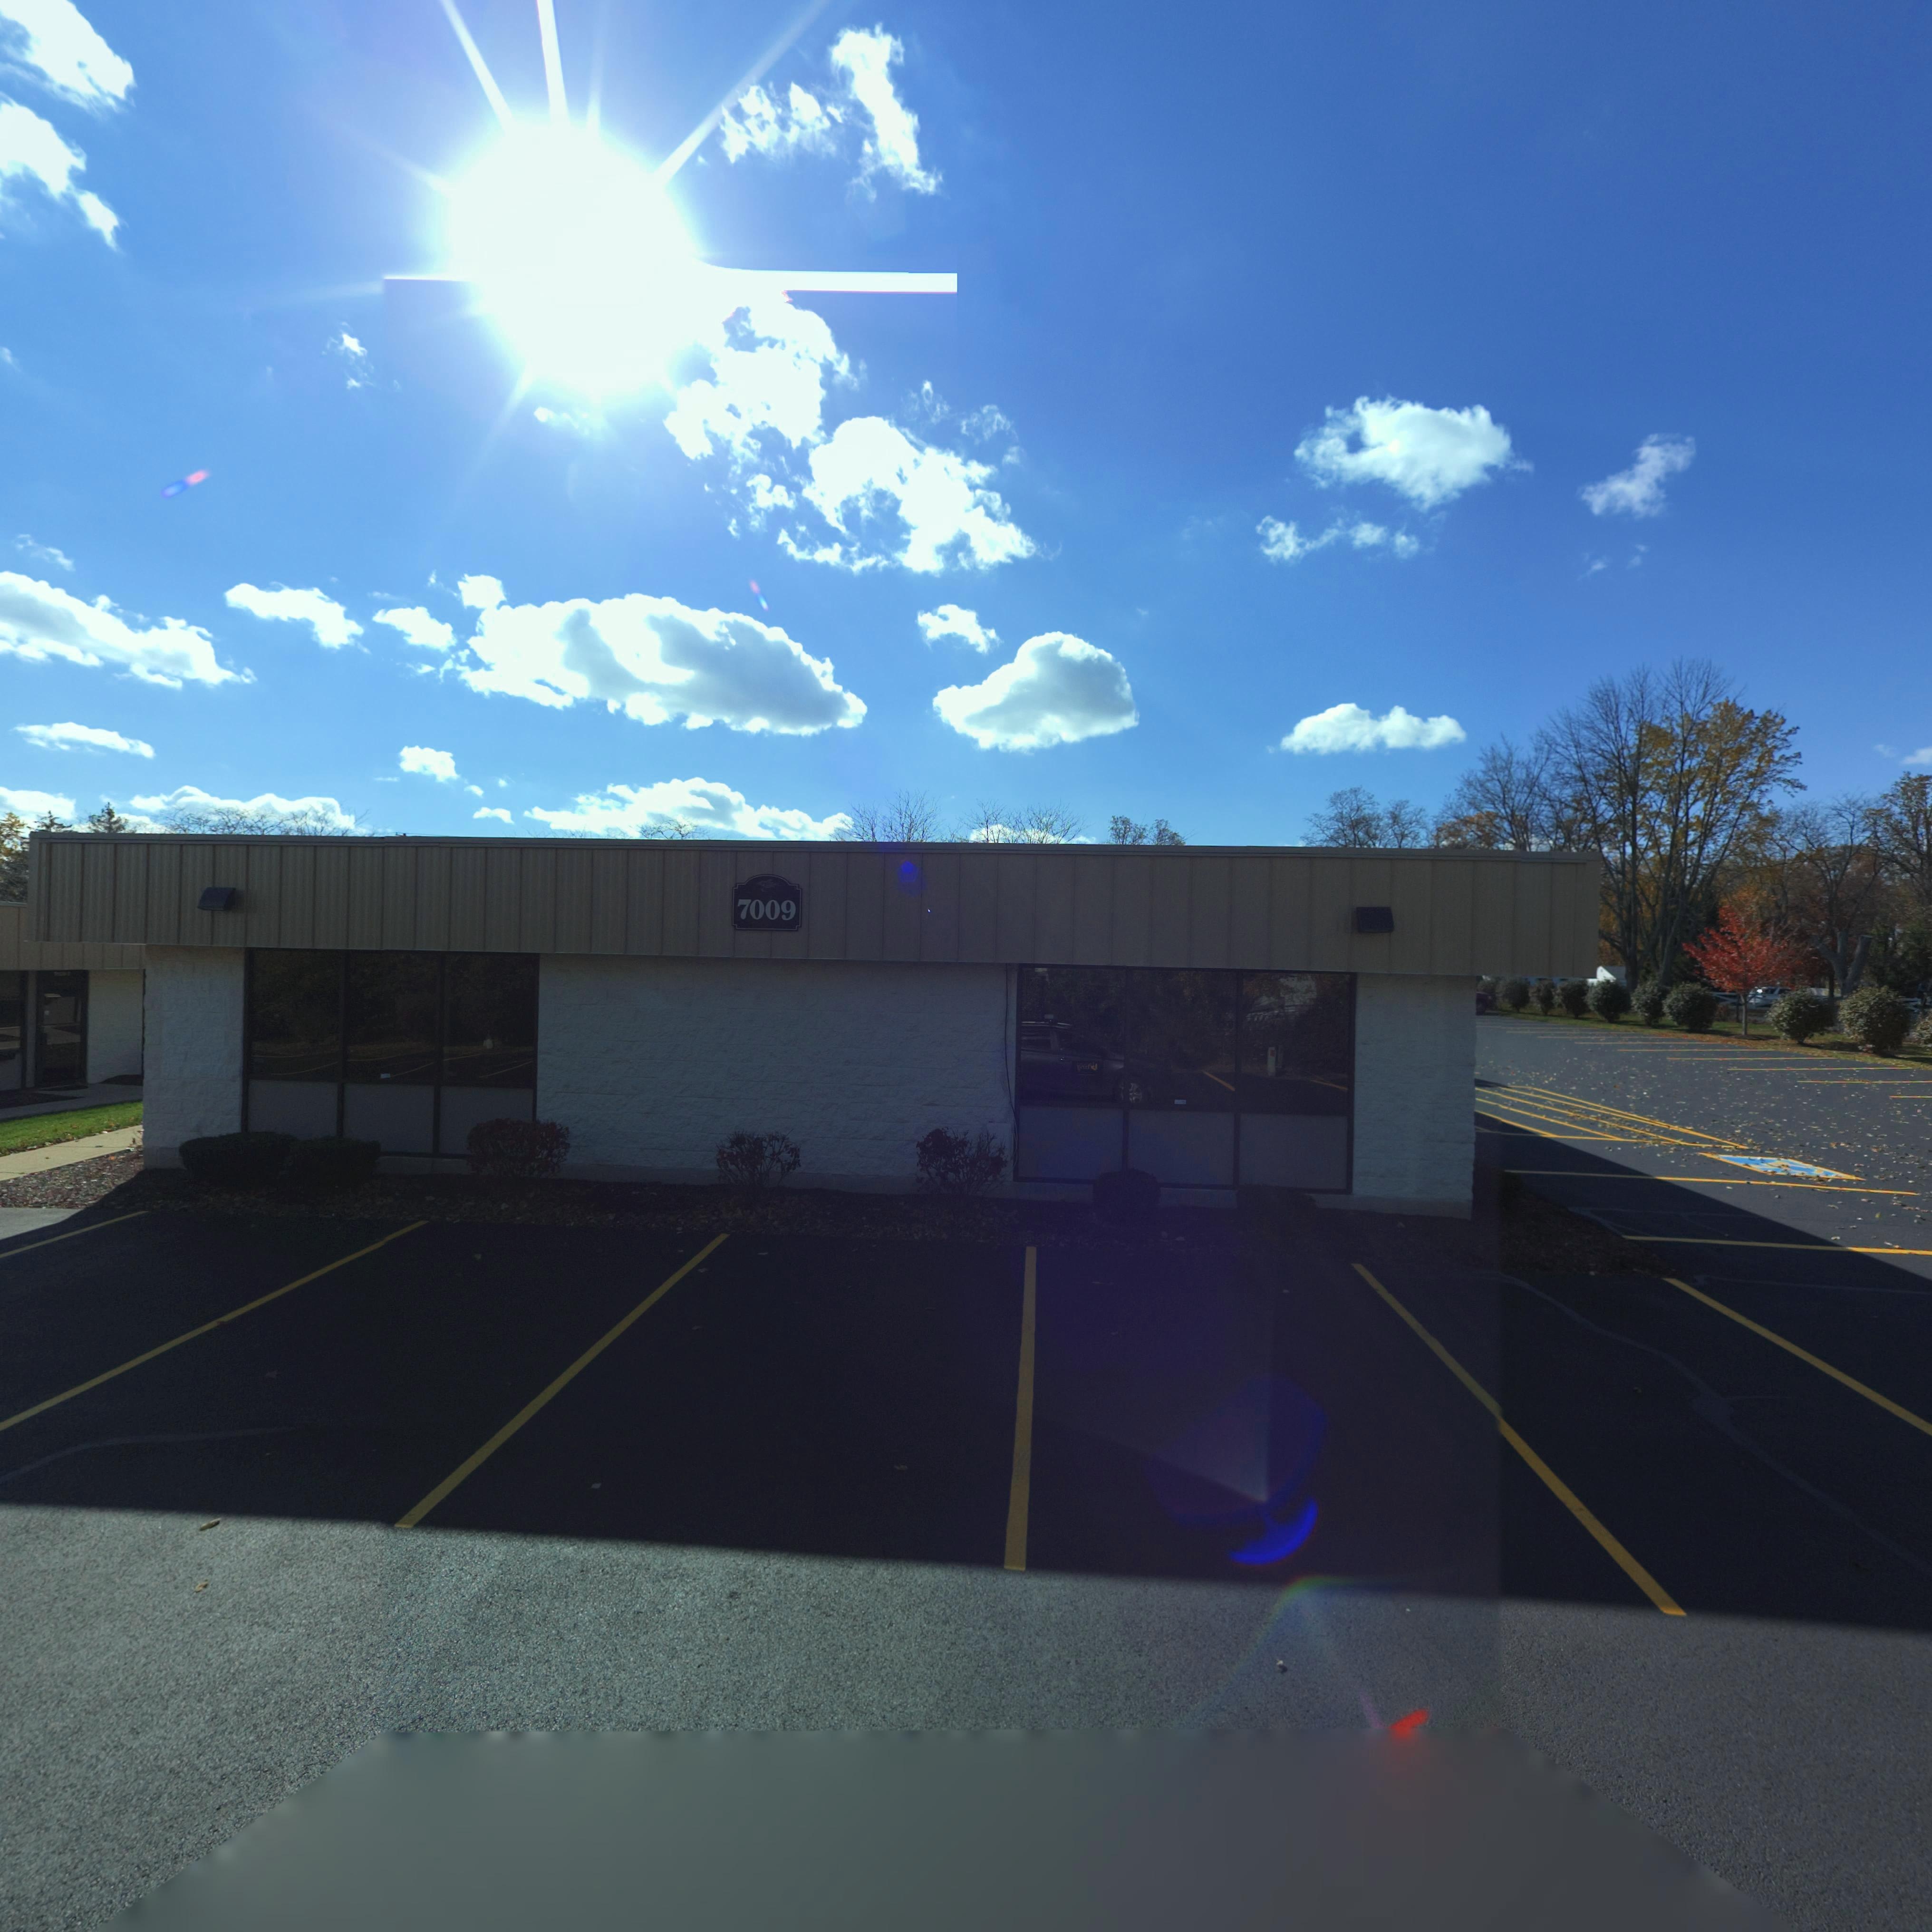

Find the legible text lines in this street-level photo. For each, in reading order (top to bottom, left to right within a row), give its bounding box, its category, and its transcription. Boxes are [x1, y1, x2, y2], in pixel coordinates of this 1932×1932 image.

[736, 898, 798, 922] StreetNumber: 7009